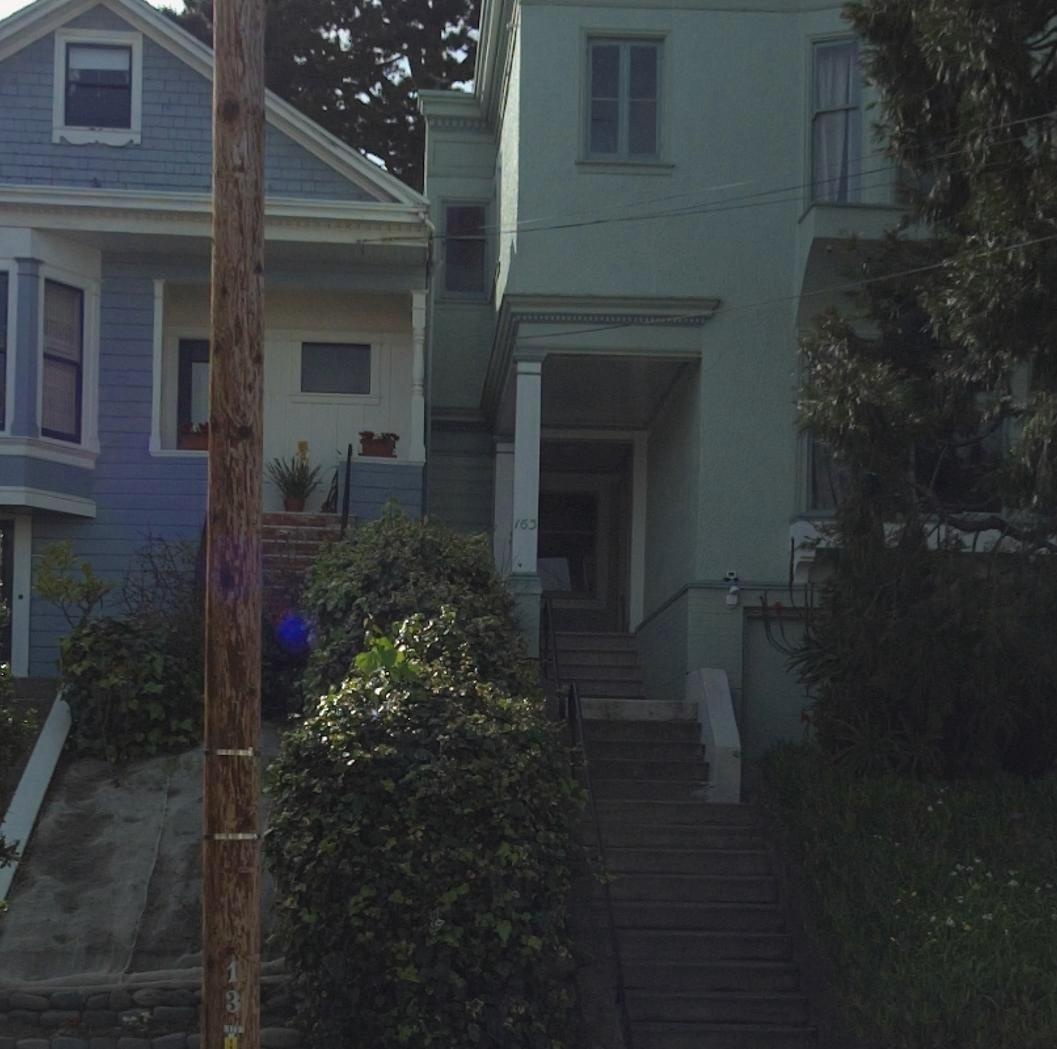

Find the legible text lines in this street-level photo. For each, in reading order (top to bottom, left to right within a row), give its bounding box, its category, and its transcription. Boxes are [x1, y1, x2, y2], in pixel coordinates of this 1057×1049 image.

[514, 517, 538, 531] StreetNumber: 163
[224, 956, 243, 1018] None: 13